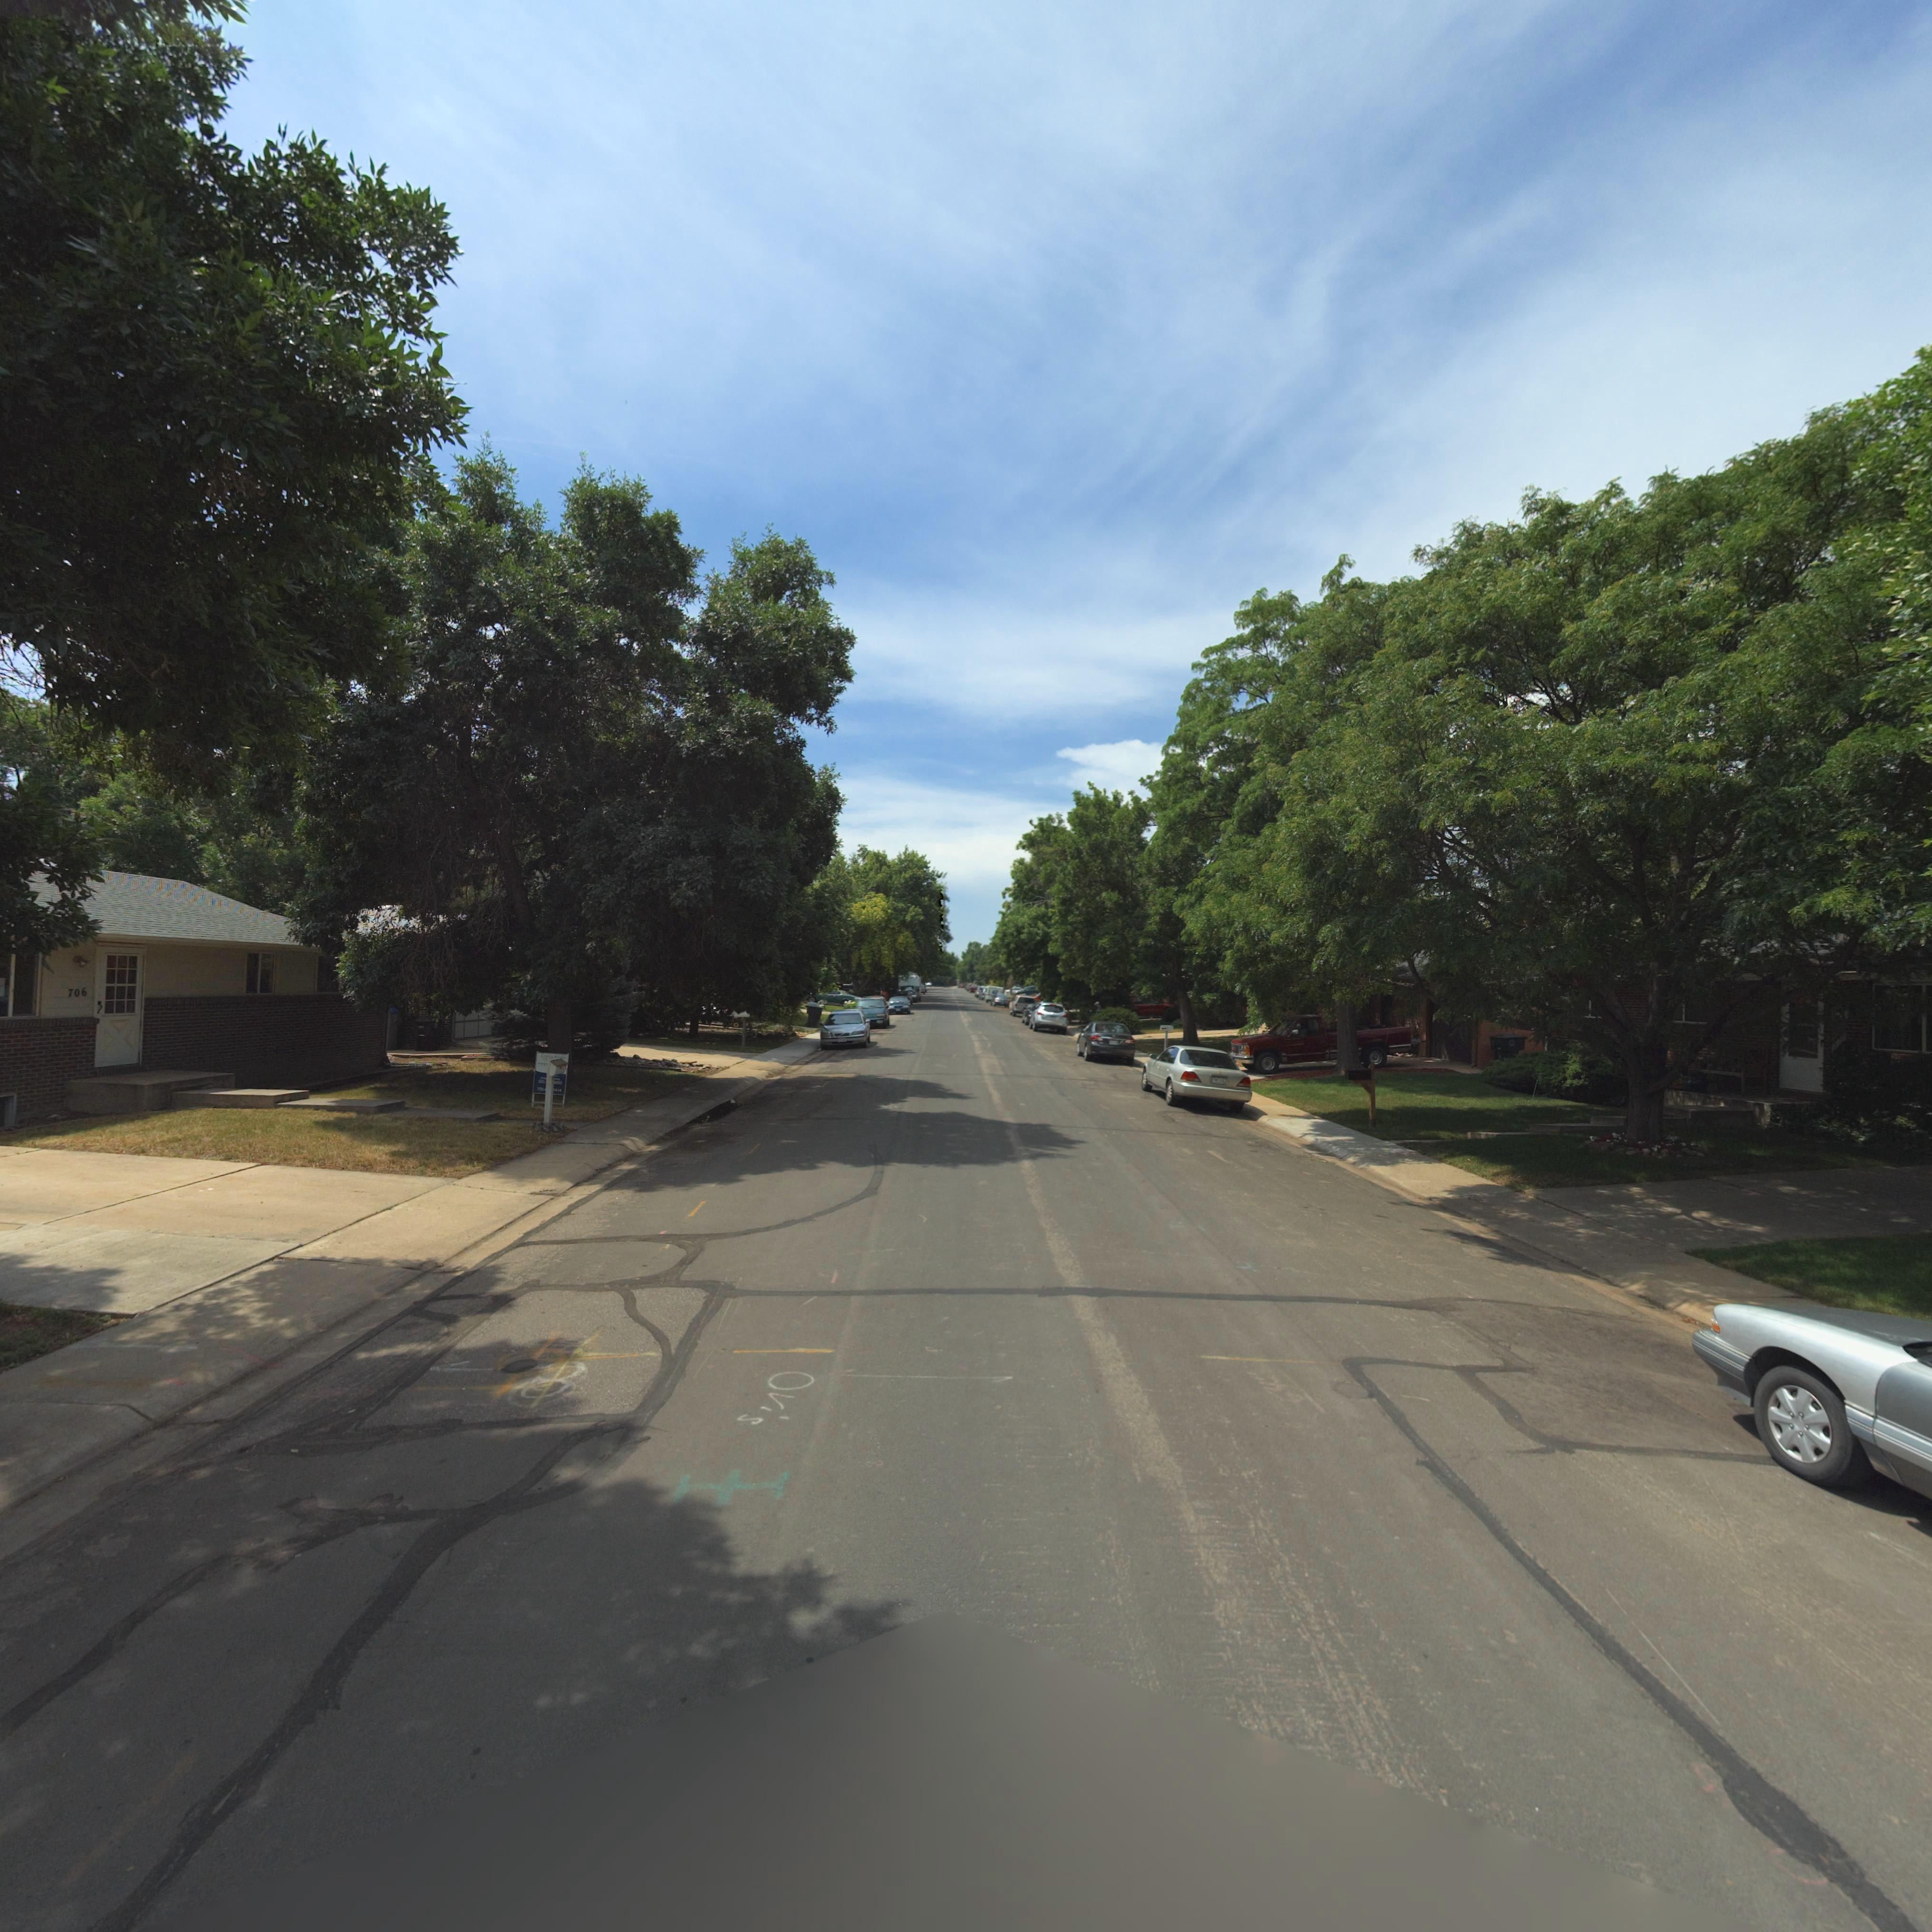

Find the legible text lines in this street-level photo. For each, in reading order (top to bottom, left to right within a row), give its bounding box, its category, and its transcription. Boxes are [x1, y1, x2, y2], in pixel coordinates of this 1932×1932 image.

[66, 985, 88, 998] StreetNumber: 706